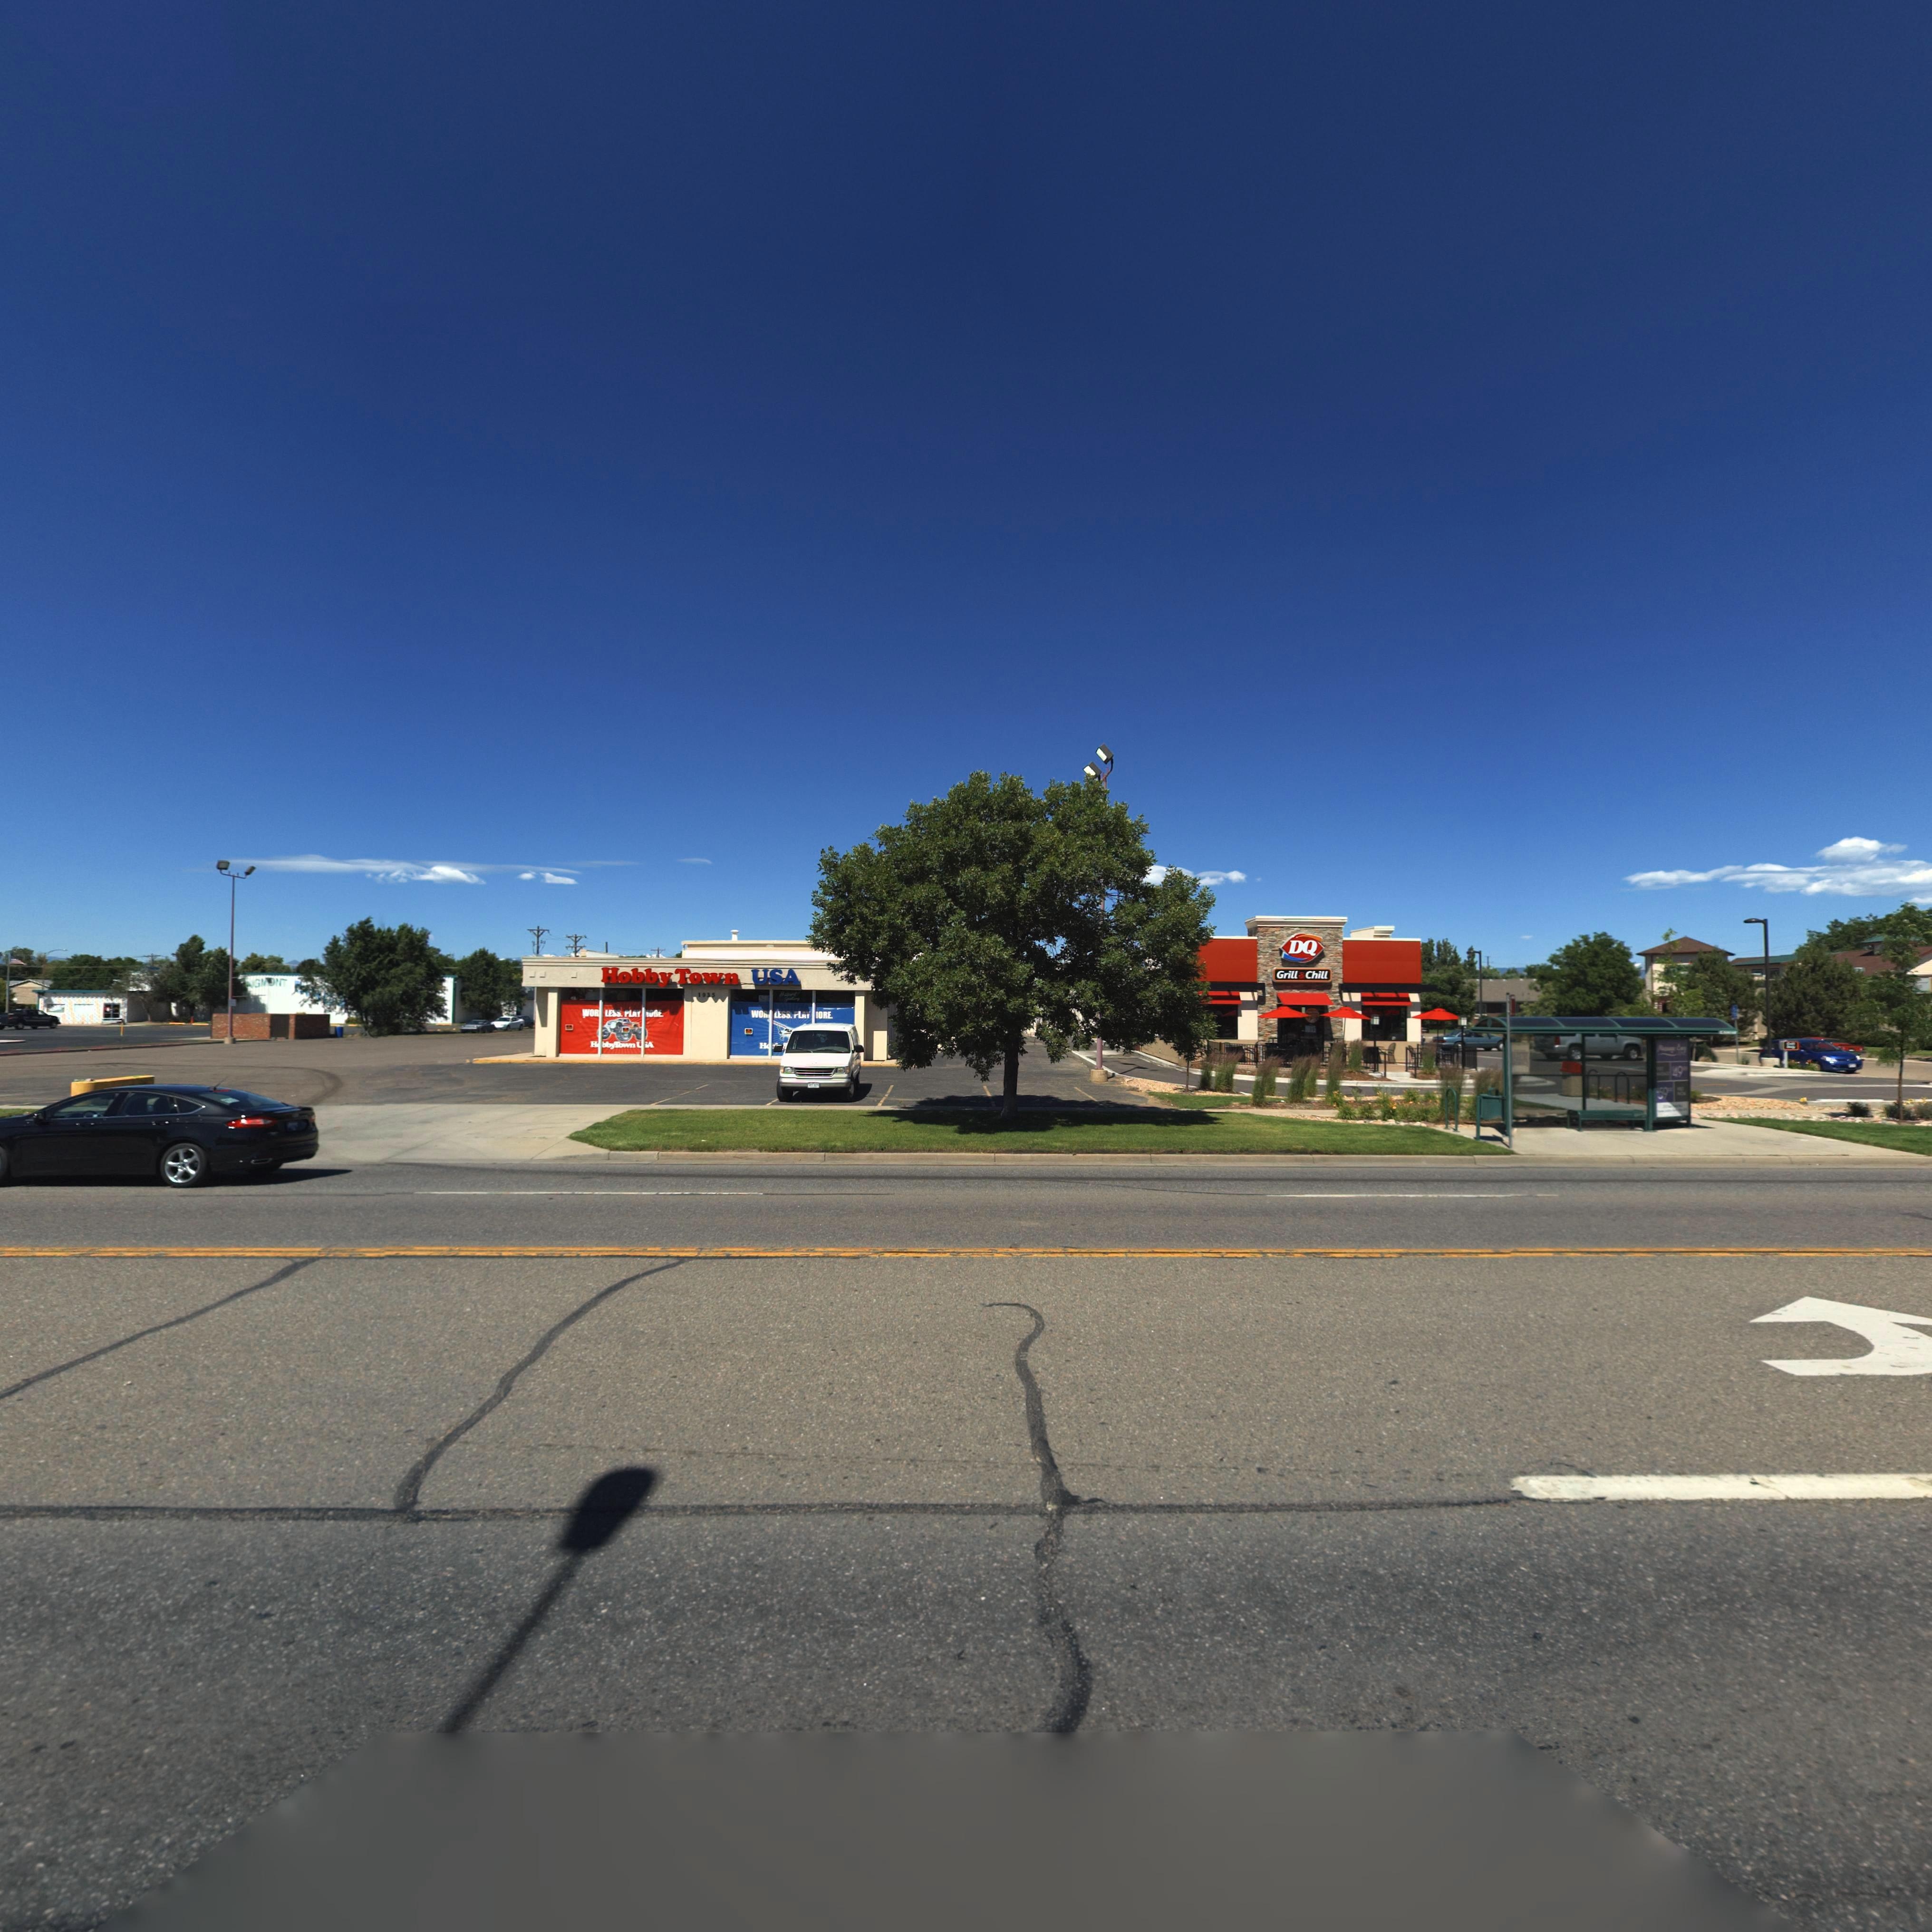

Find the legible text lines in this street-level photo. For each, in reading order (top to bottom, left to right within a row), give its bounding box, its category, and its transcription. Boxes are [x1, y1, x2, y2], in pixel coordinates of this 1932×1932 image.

[1287, 939, 1318, 956] BusinessName: DQ
[245, 976, 288, 991] StreetNumber: NGMONT
[599, 966, 802, 988] BusinessName: HobbyTown USA
[698, 992, 715, 998] StreetNumber: 1935